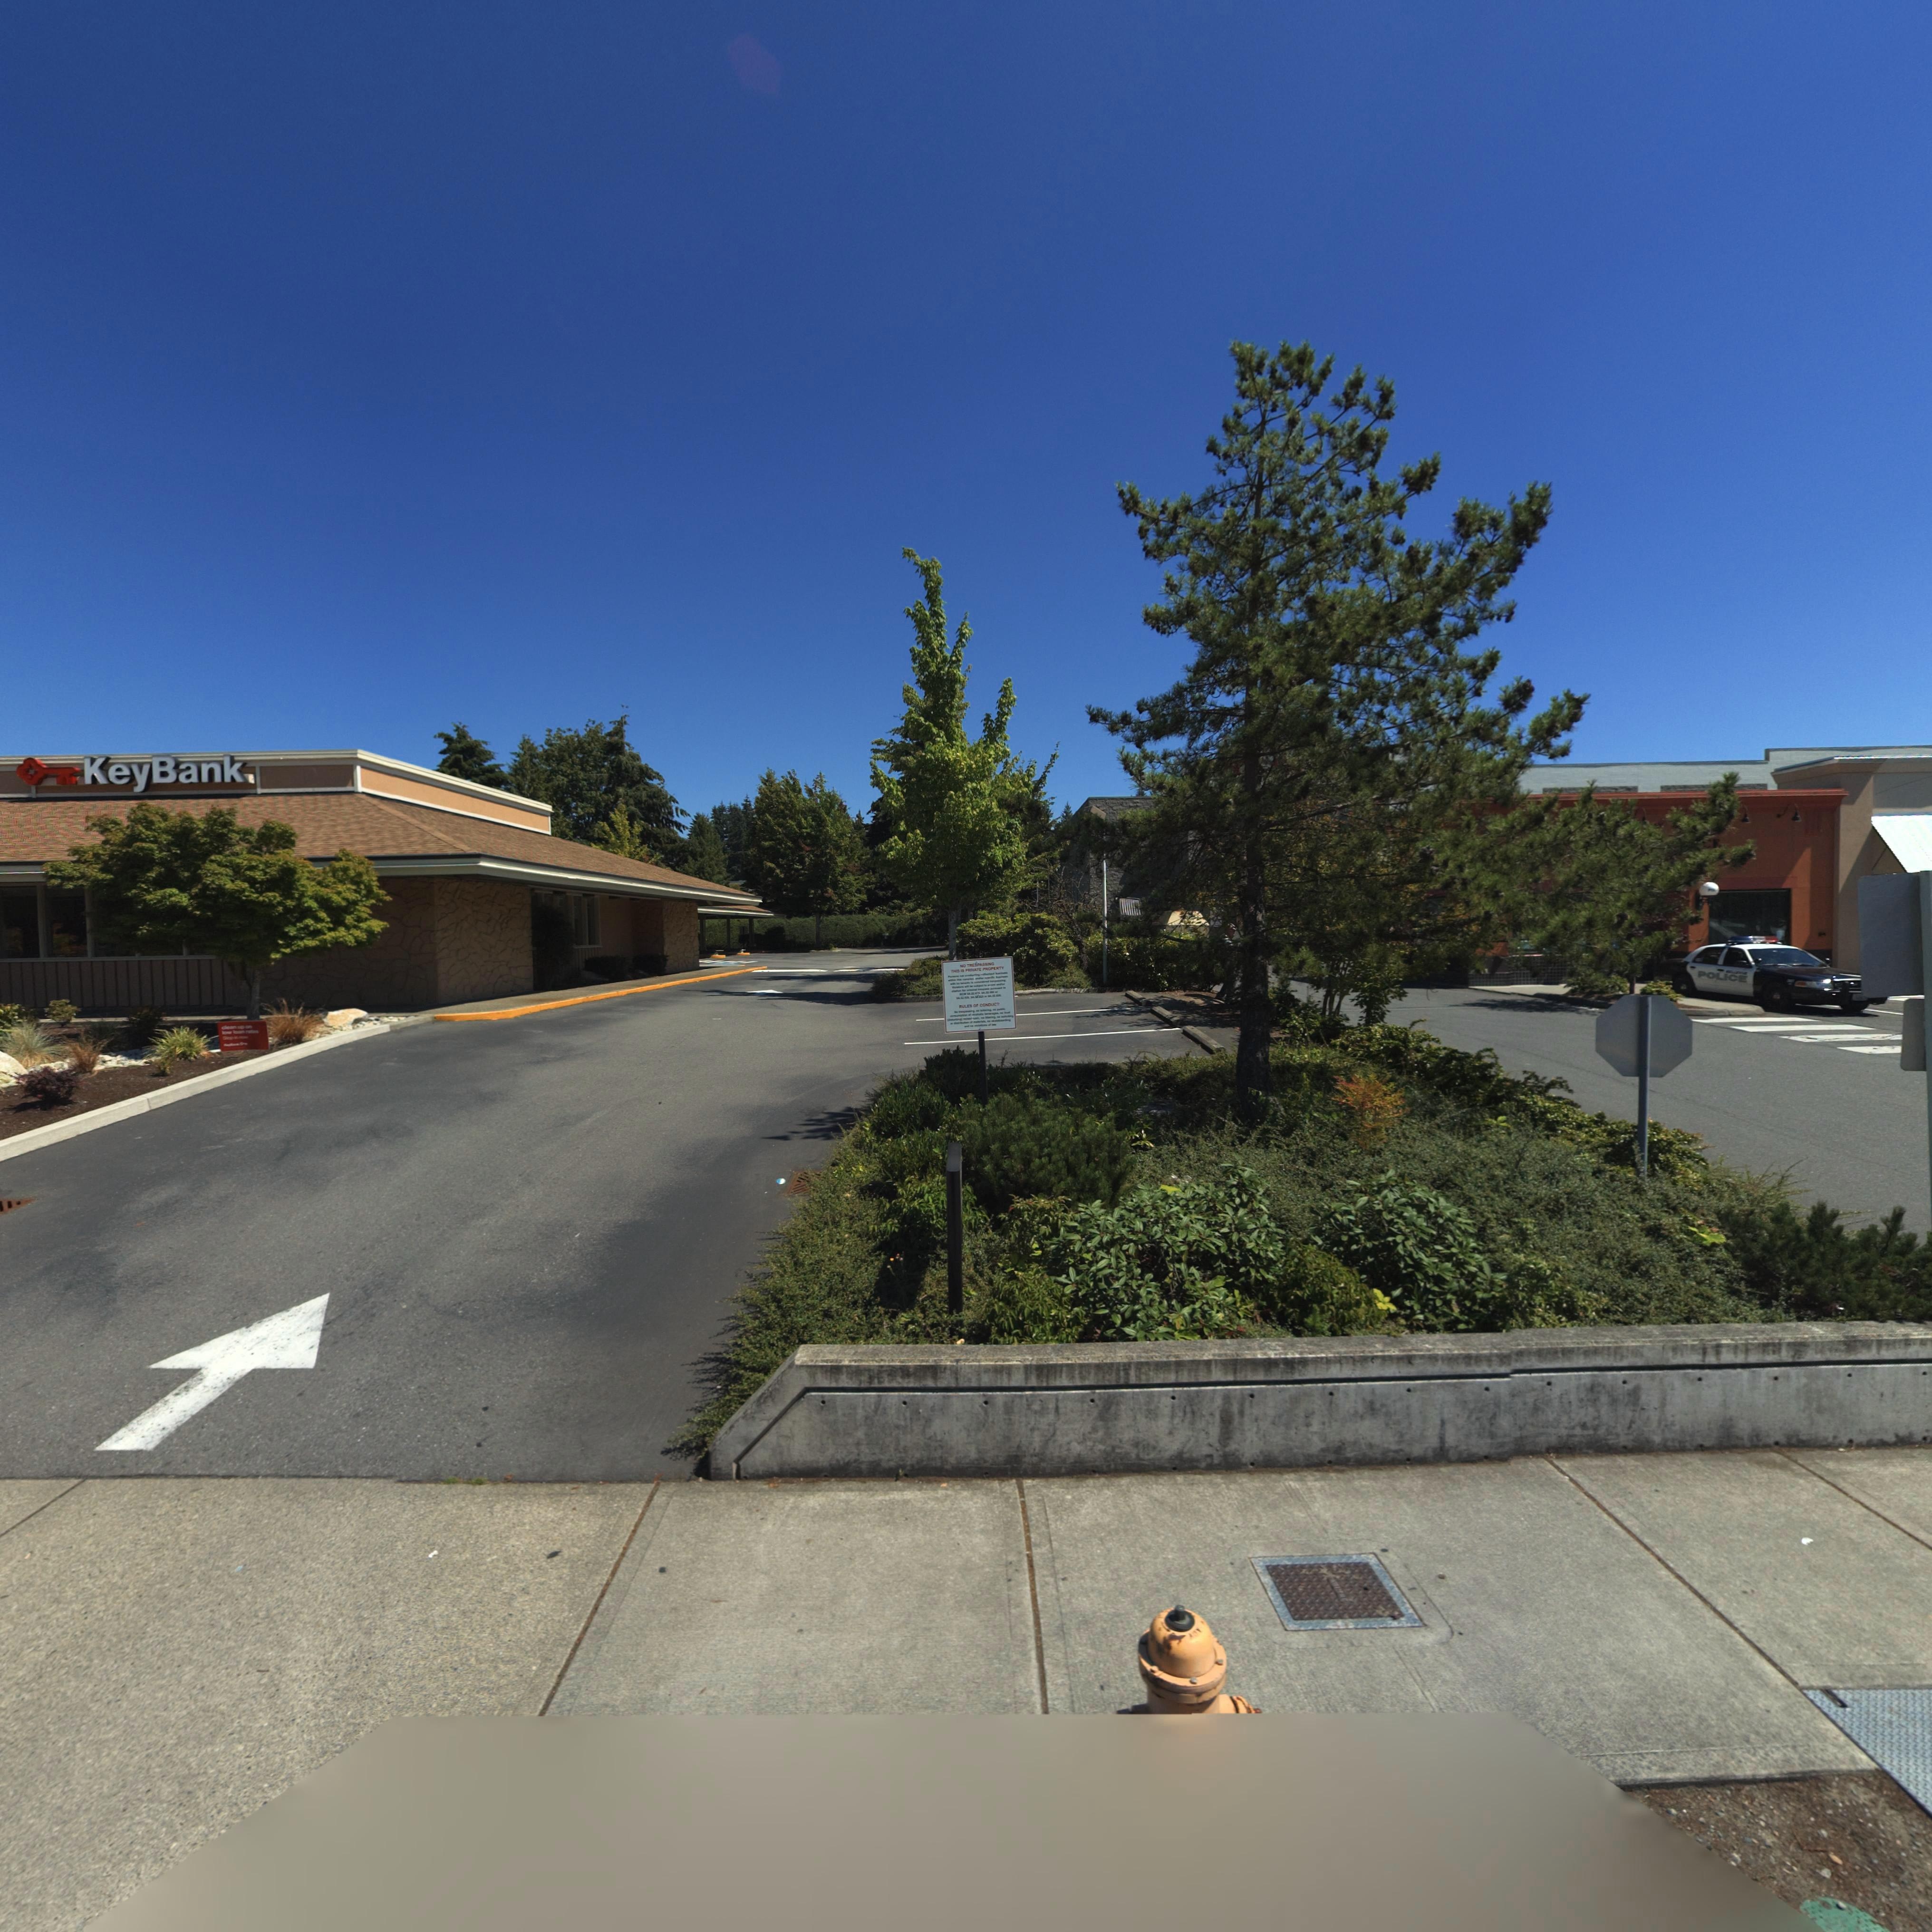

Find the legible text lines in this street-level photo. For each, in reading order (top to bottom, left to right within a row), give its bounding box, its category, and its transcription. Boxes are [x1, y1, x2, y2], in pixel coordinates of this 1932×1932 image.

[85, 756, 241, 792] BusinessName: Key Bank